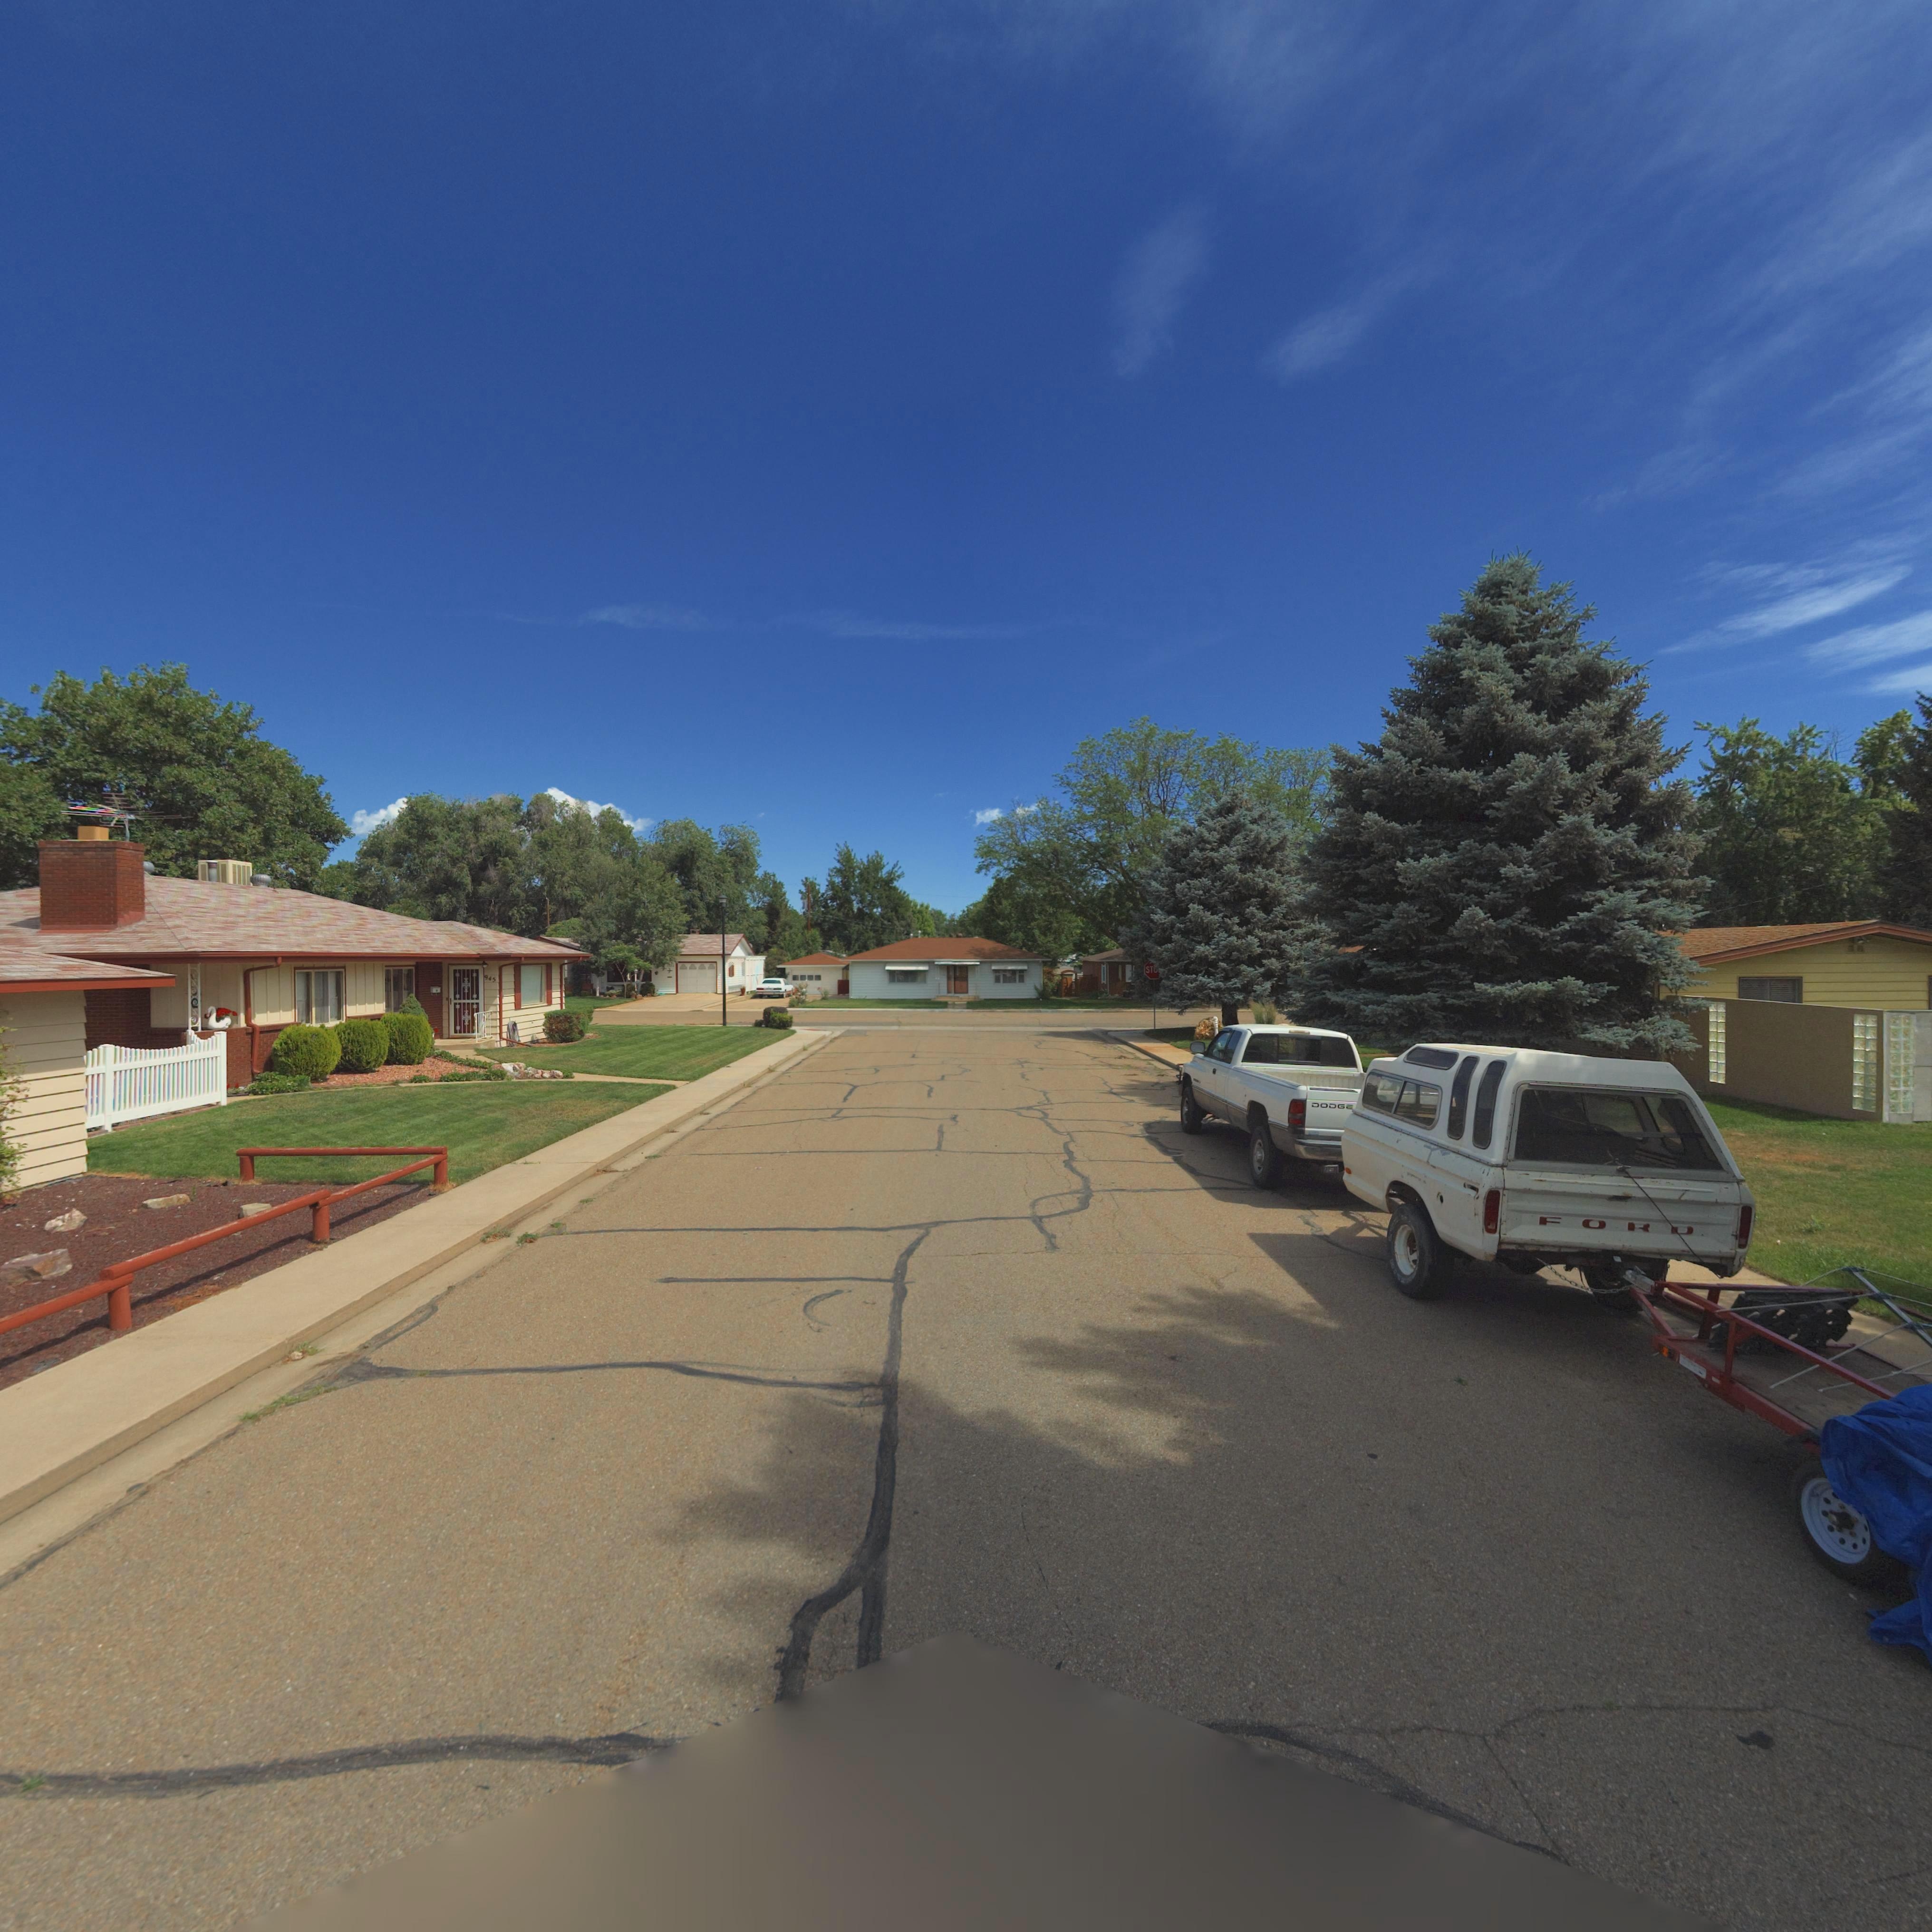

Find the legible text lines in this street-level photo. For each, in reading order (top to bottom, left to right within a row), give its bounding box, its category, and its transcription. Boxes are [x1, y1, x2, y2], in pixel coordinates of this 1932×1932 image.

[484, 974, 496, 982] StreetNumber: 94*